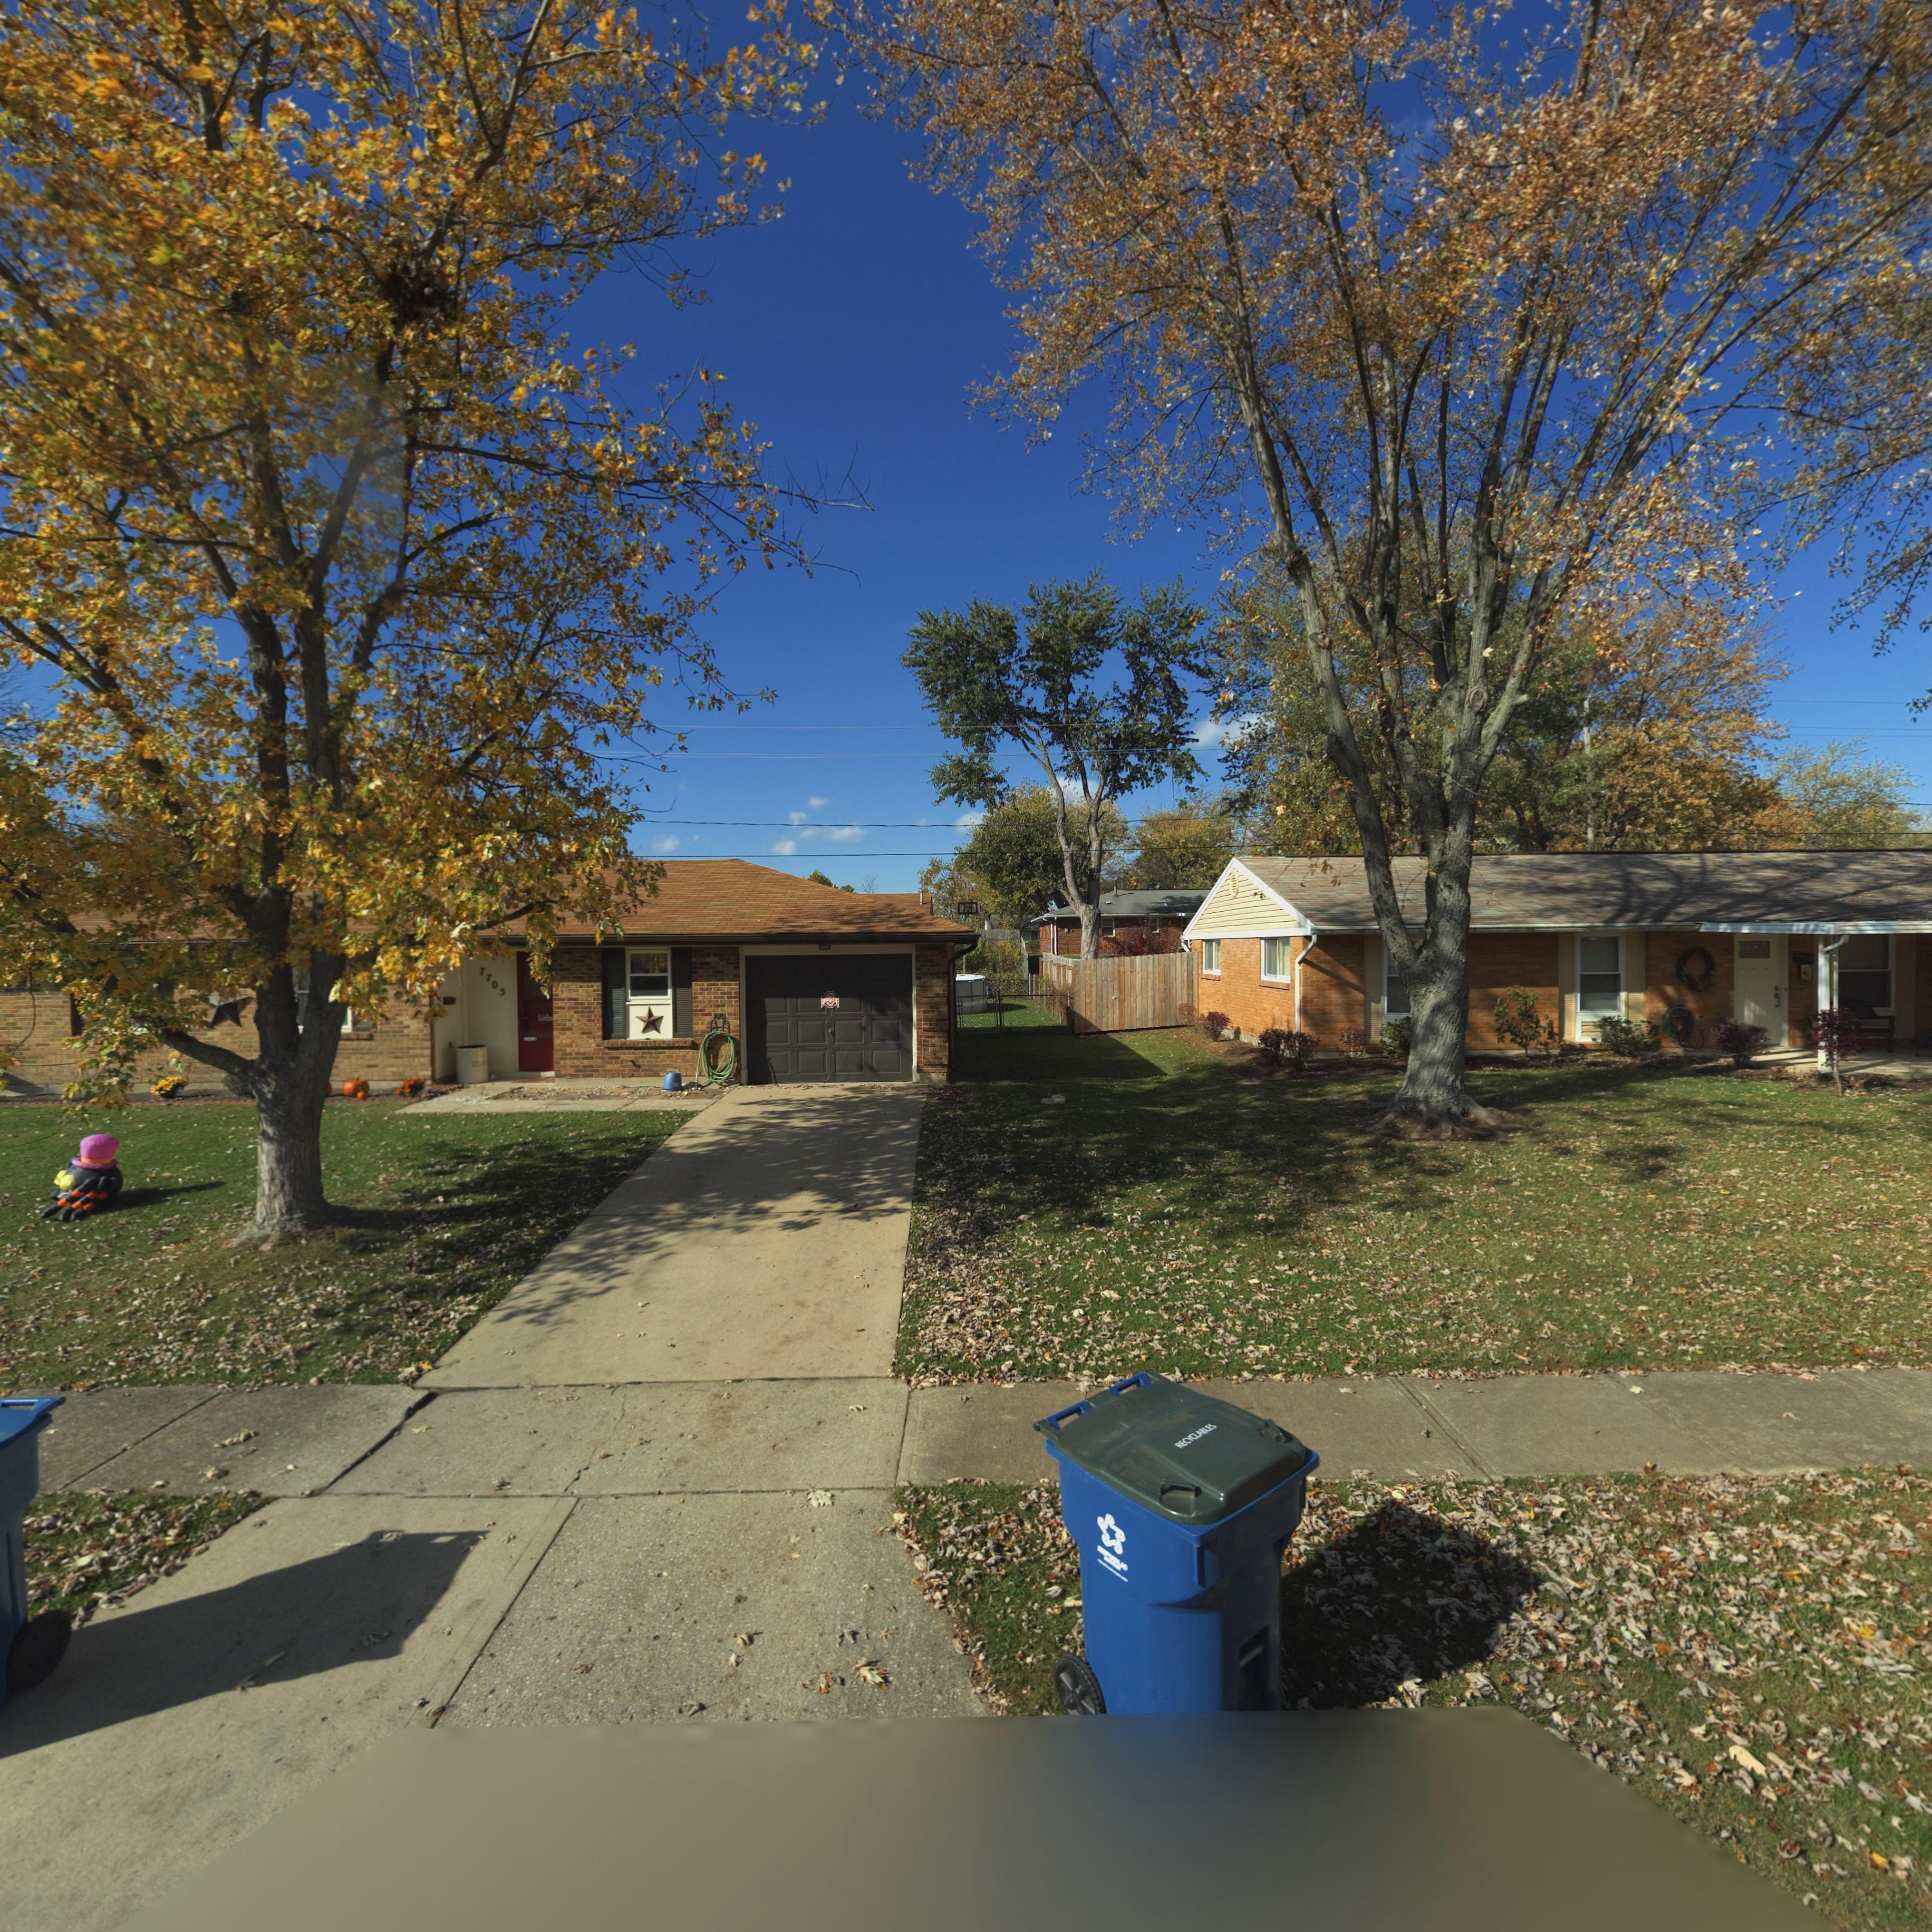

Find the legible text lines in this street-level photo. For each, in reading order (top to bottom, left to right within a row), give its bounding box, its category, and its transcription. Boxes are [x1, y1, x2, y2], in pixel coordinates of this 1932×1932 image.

[478, 966, 507, 997] StreetNumber: 7705